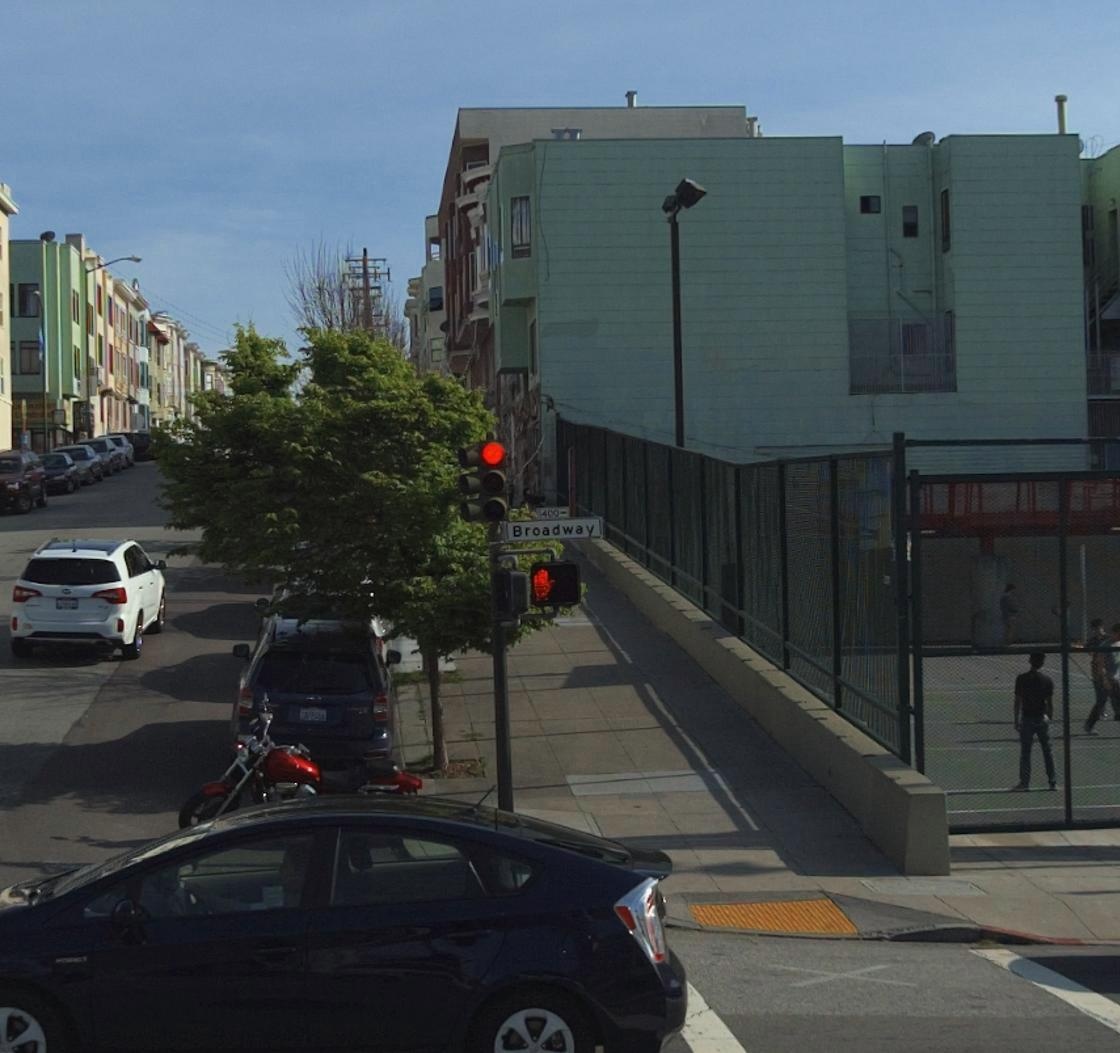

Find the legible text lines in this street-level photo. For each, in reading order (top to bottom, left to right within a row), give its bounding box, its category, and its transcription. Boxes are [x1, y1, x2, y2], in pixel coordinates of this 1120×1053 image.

[538, 507, 569, 520] StreetNumberRange: 400->
[510, 521, 597, 540] StreetName: Broadway